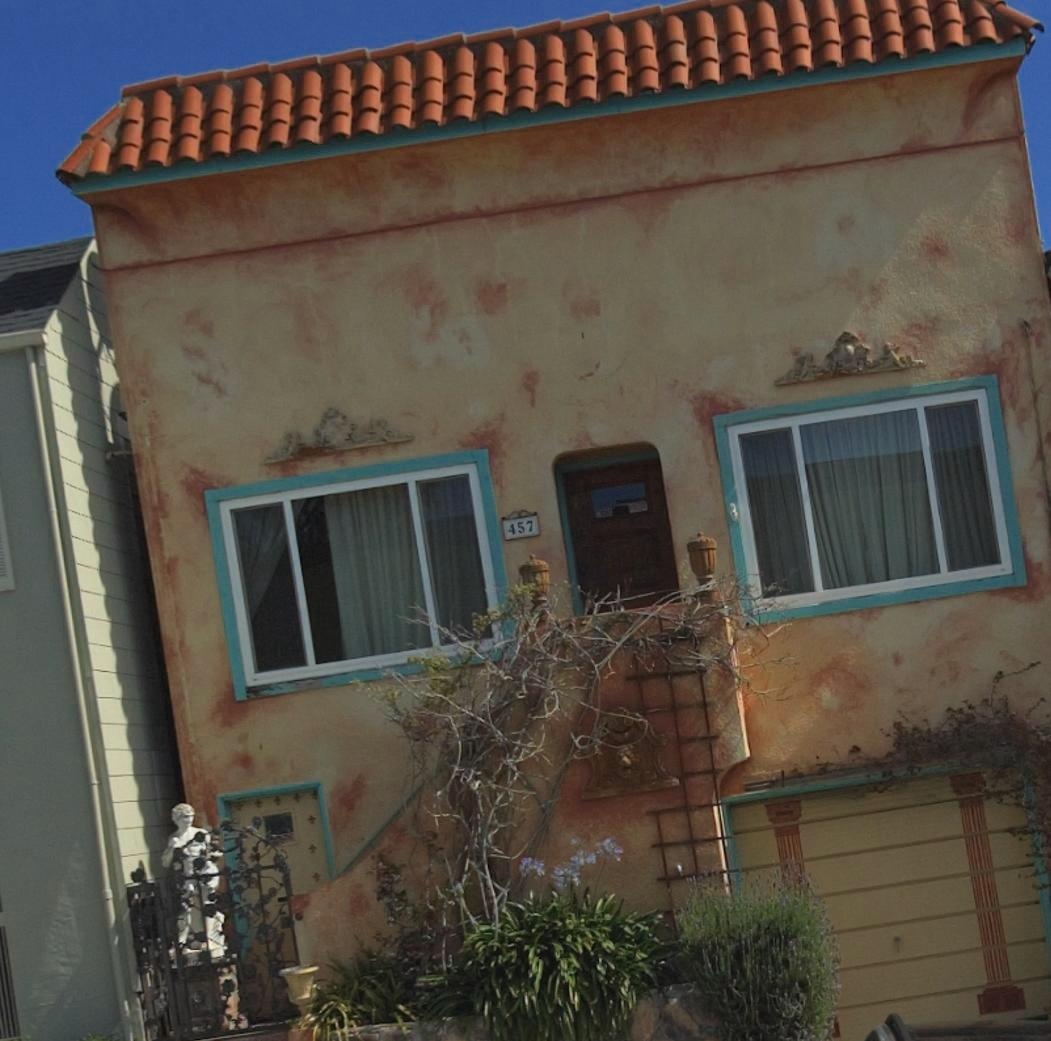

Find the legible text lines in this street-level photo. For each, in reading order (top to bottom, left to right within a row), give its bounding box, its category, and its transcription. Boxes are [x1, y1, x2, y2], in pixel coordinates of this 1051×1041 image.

[506, 518, 534, 537] StreetNumber: 457